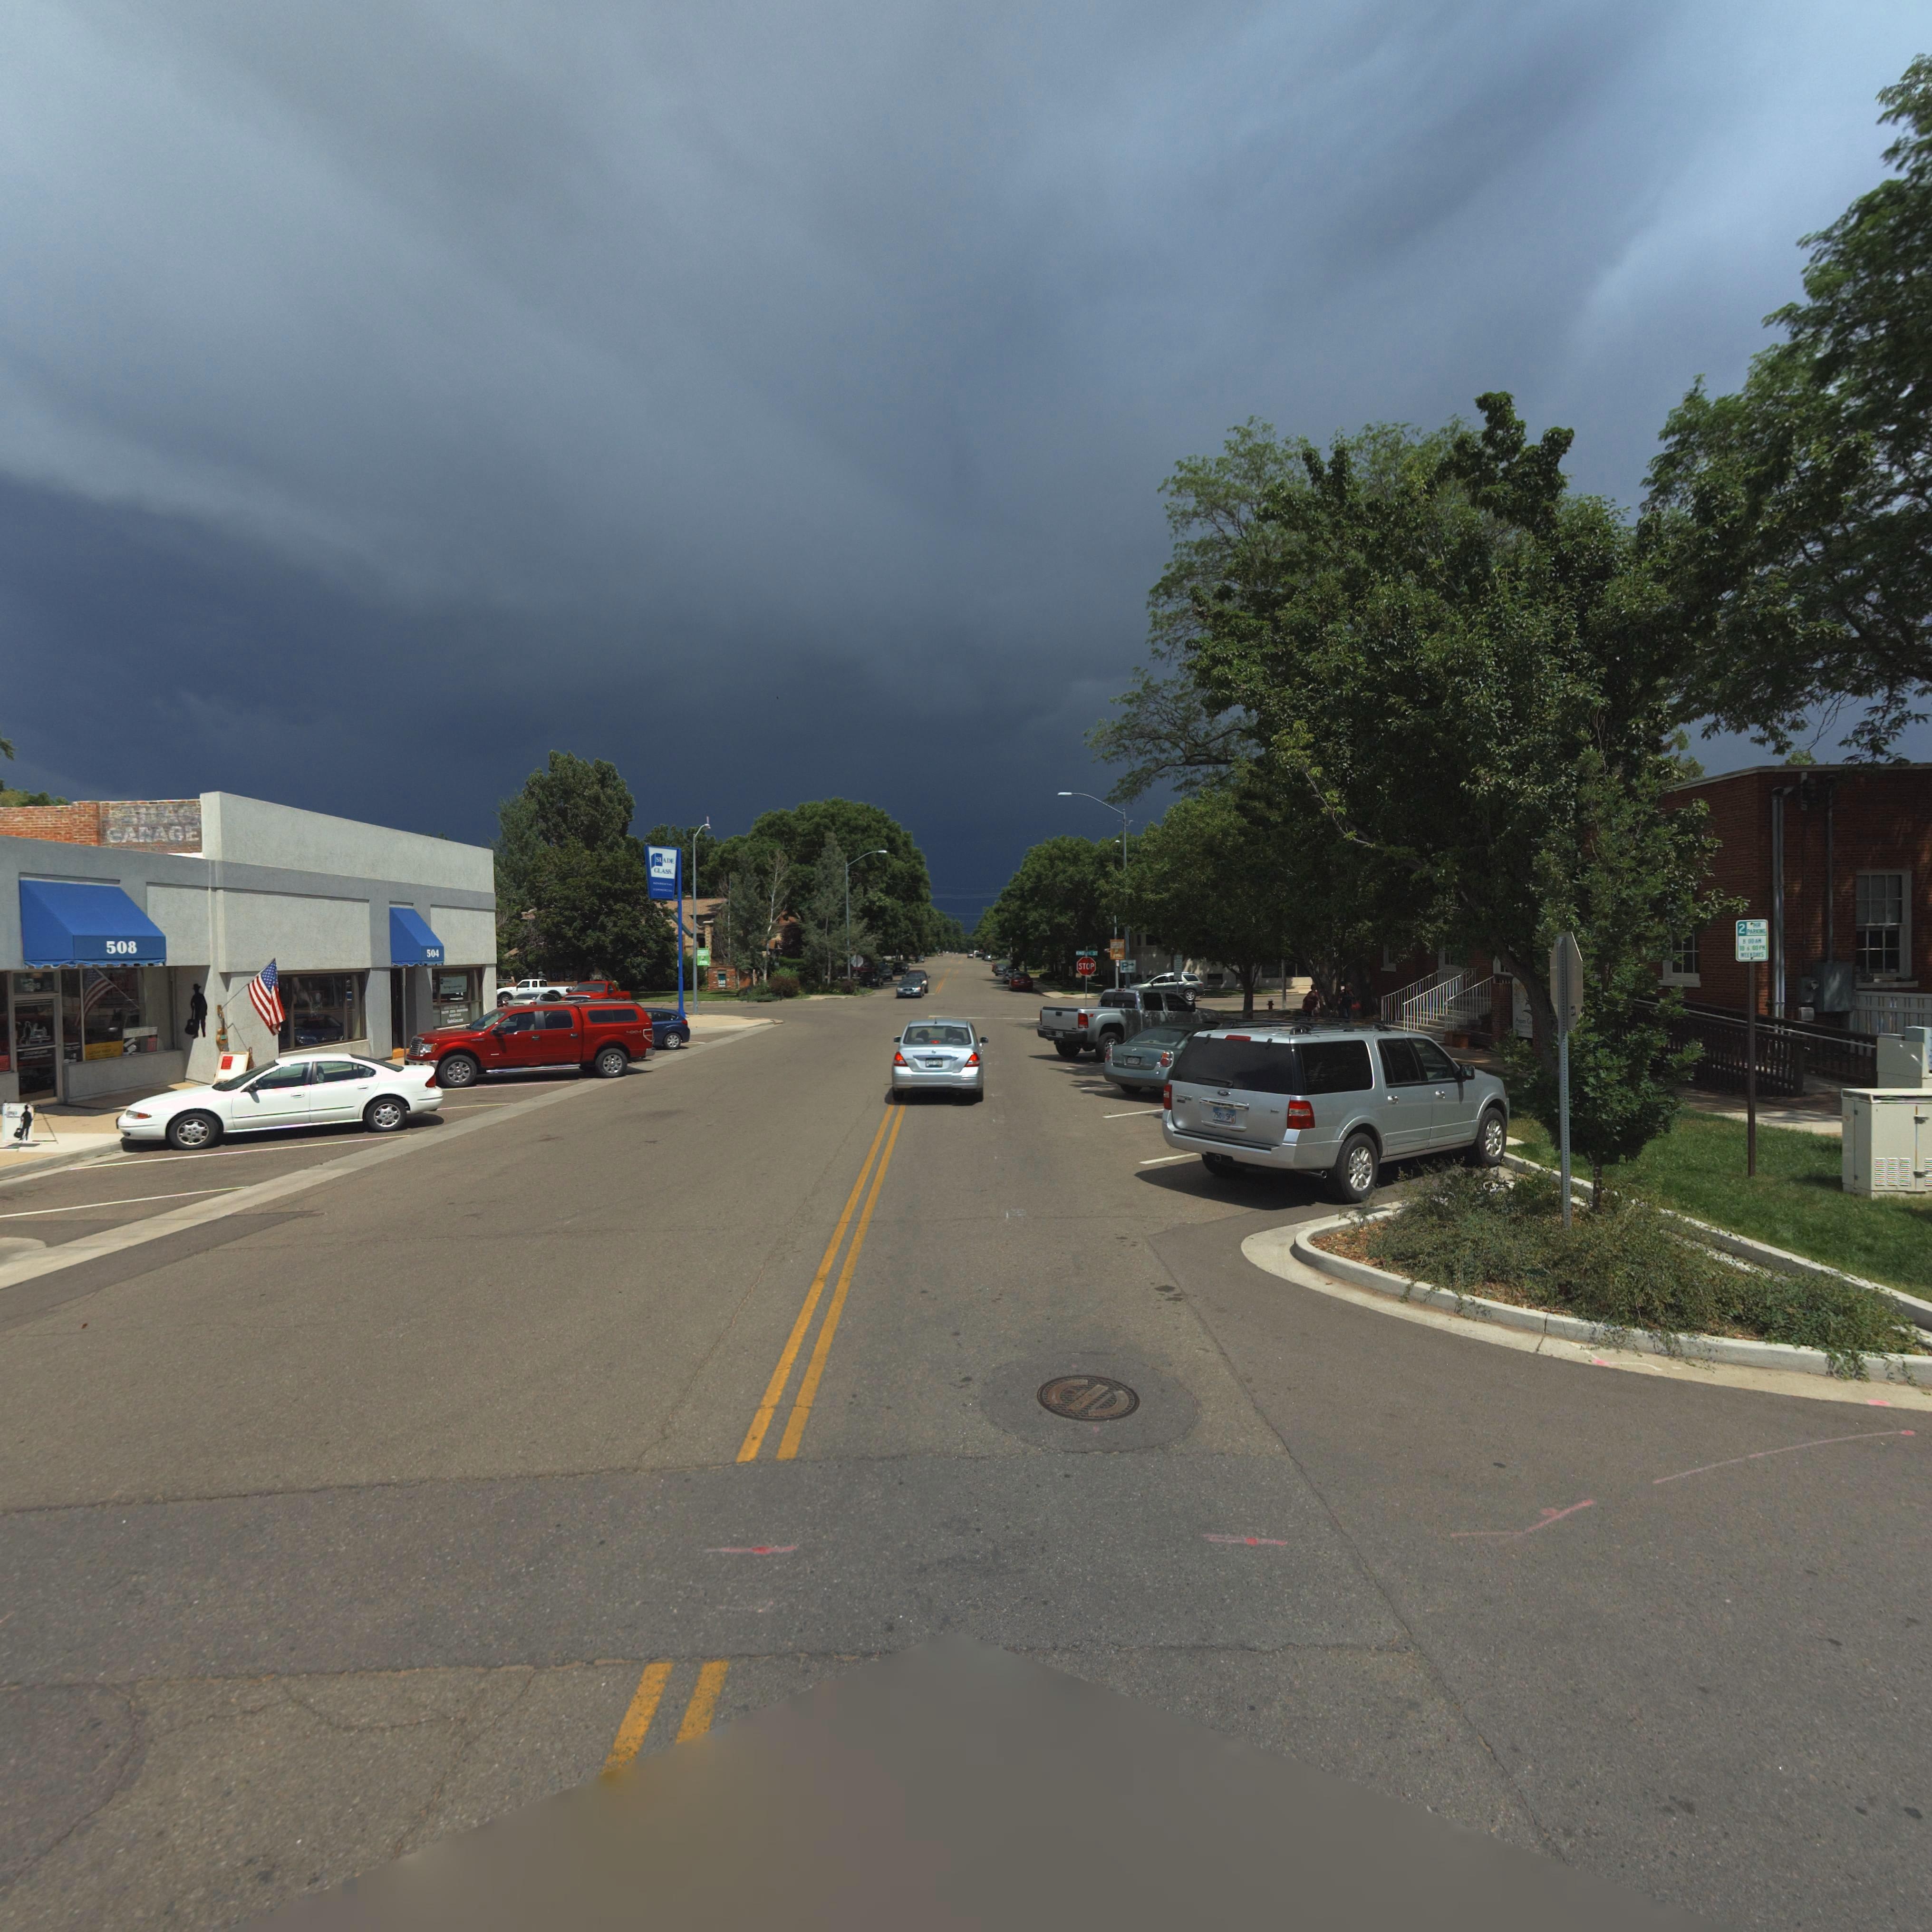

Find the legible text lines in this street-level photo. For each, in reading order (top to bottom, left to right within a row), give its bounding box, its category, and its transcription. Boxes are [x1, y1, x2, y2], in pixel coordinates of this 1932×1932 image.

[656, 856, 674, 863] BusinessName: SLADE
[653, 867, 671, 874] BusinessName: GLASS
[106, 940, 137, 954] StreetNumber: 508
[426, 948, 439, 957] StreetNumber: 504
[1092, 951, 1098, 955] StreetName: ST
[26, 982, 40, 989] StreetNumber: 508
[717, 980, 725, 984] StreetNumber: 50*